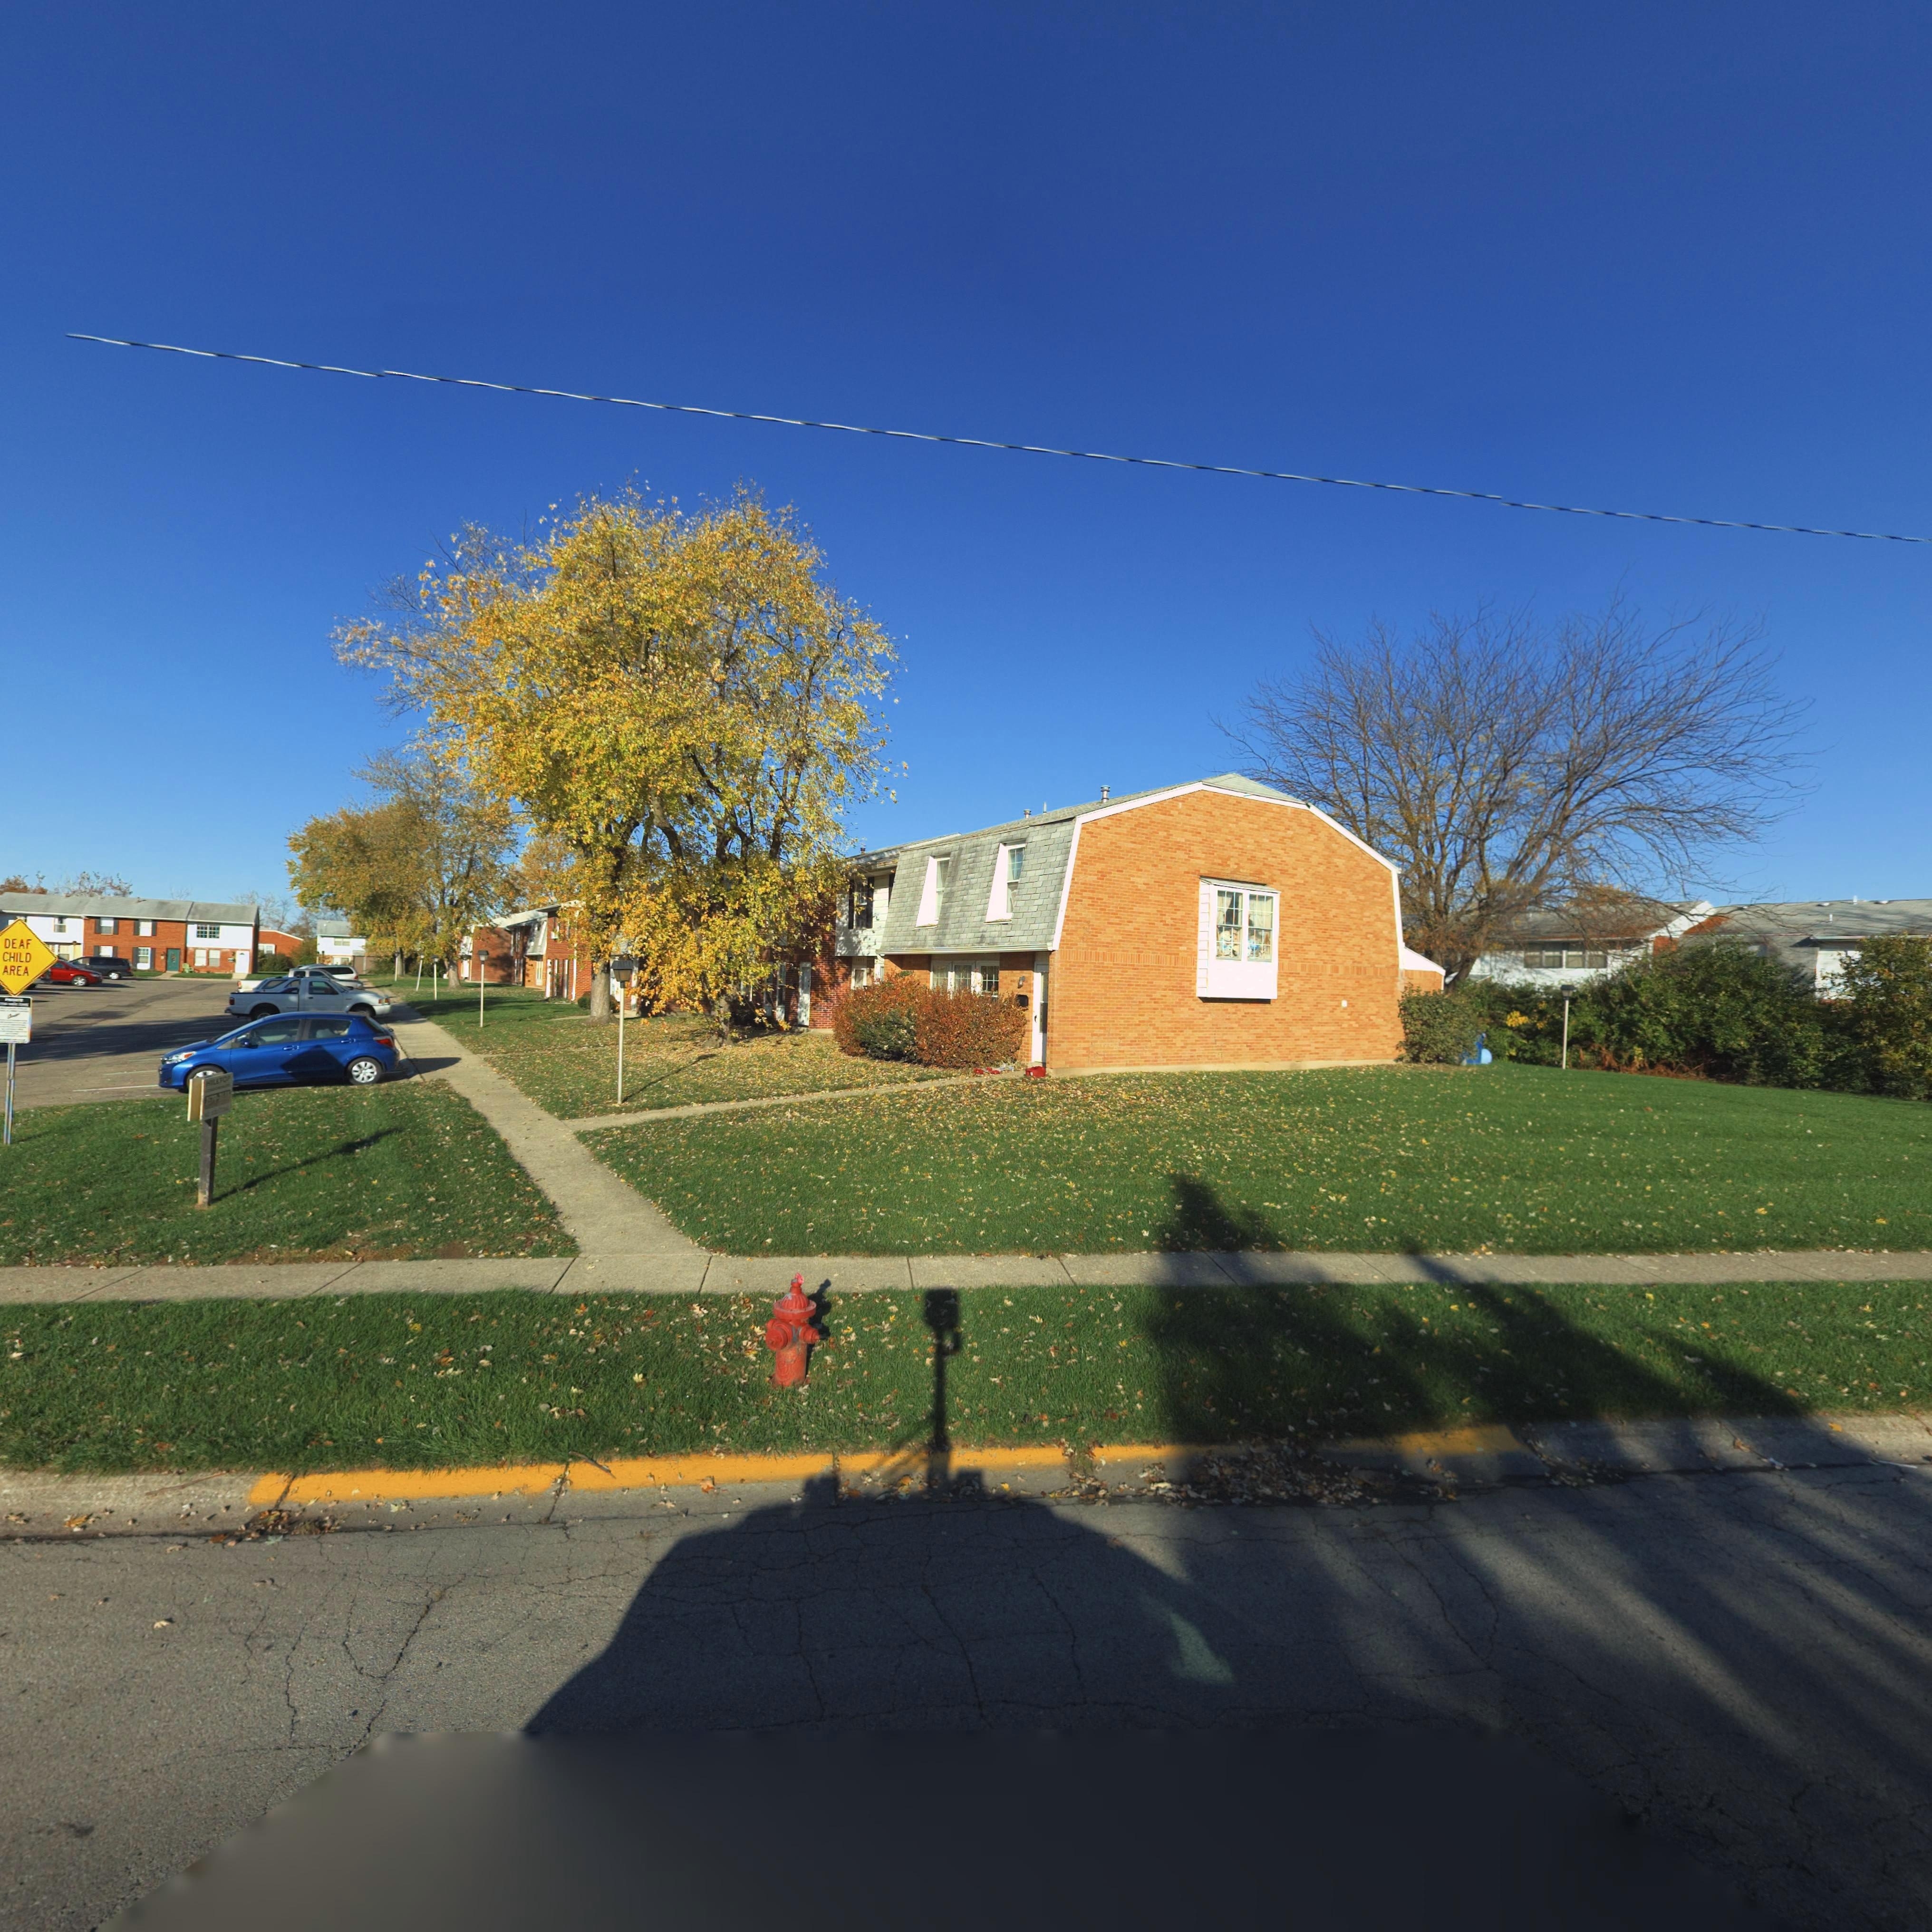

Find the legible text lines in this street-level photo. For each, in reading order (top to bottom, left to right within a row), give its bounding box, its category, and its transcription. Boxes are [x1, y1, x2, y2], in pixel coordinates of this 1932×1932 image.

[861, 958, 864, 962] StreetNumber: 7